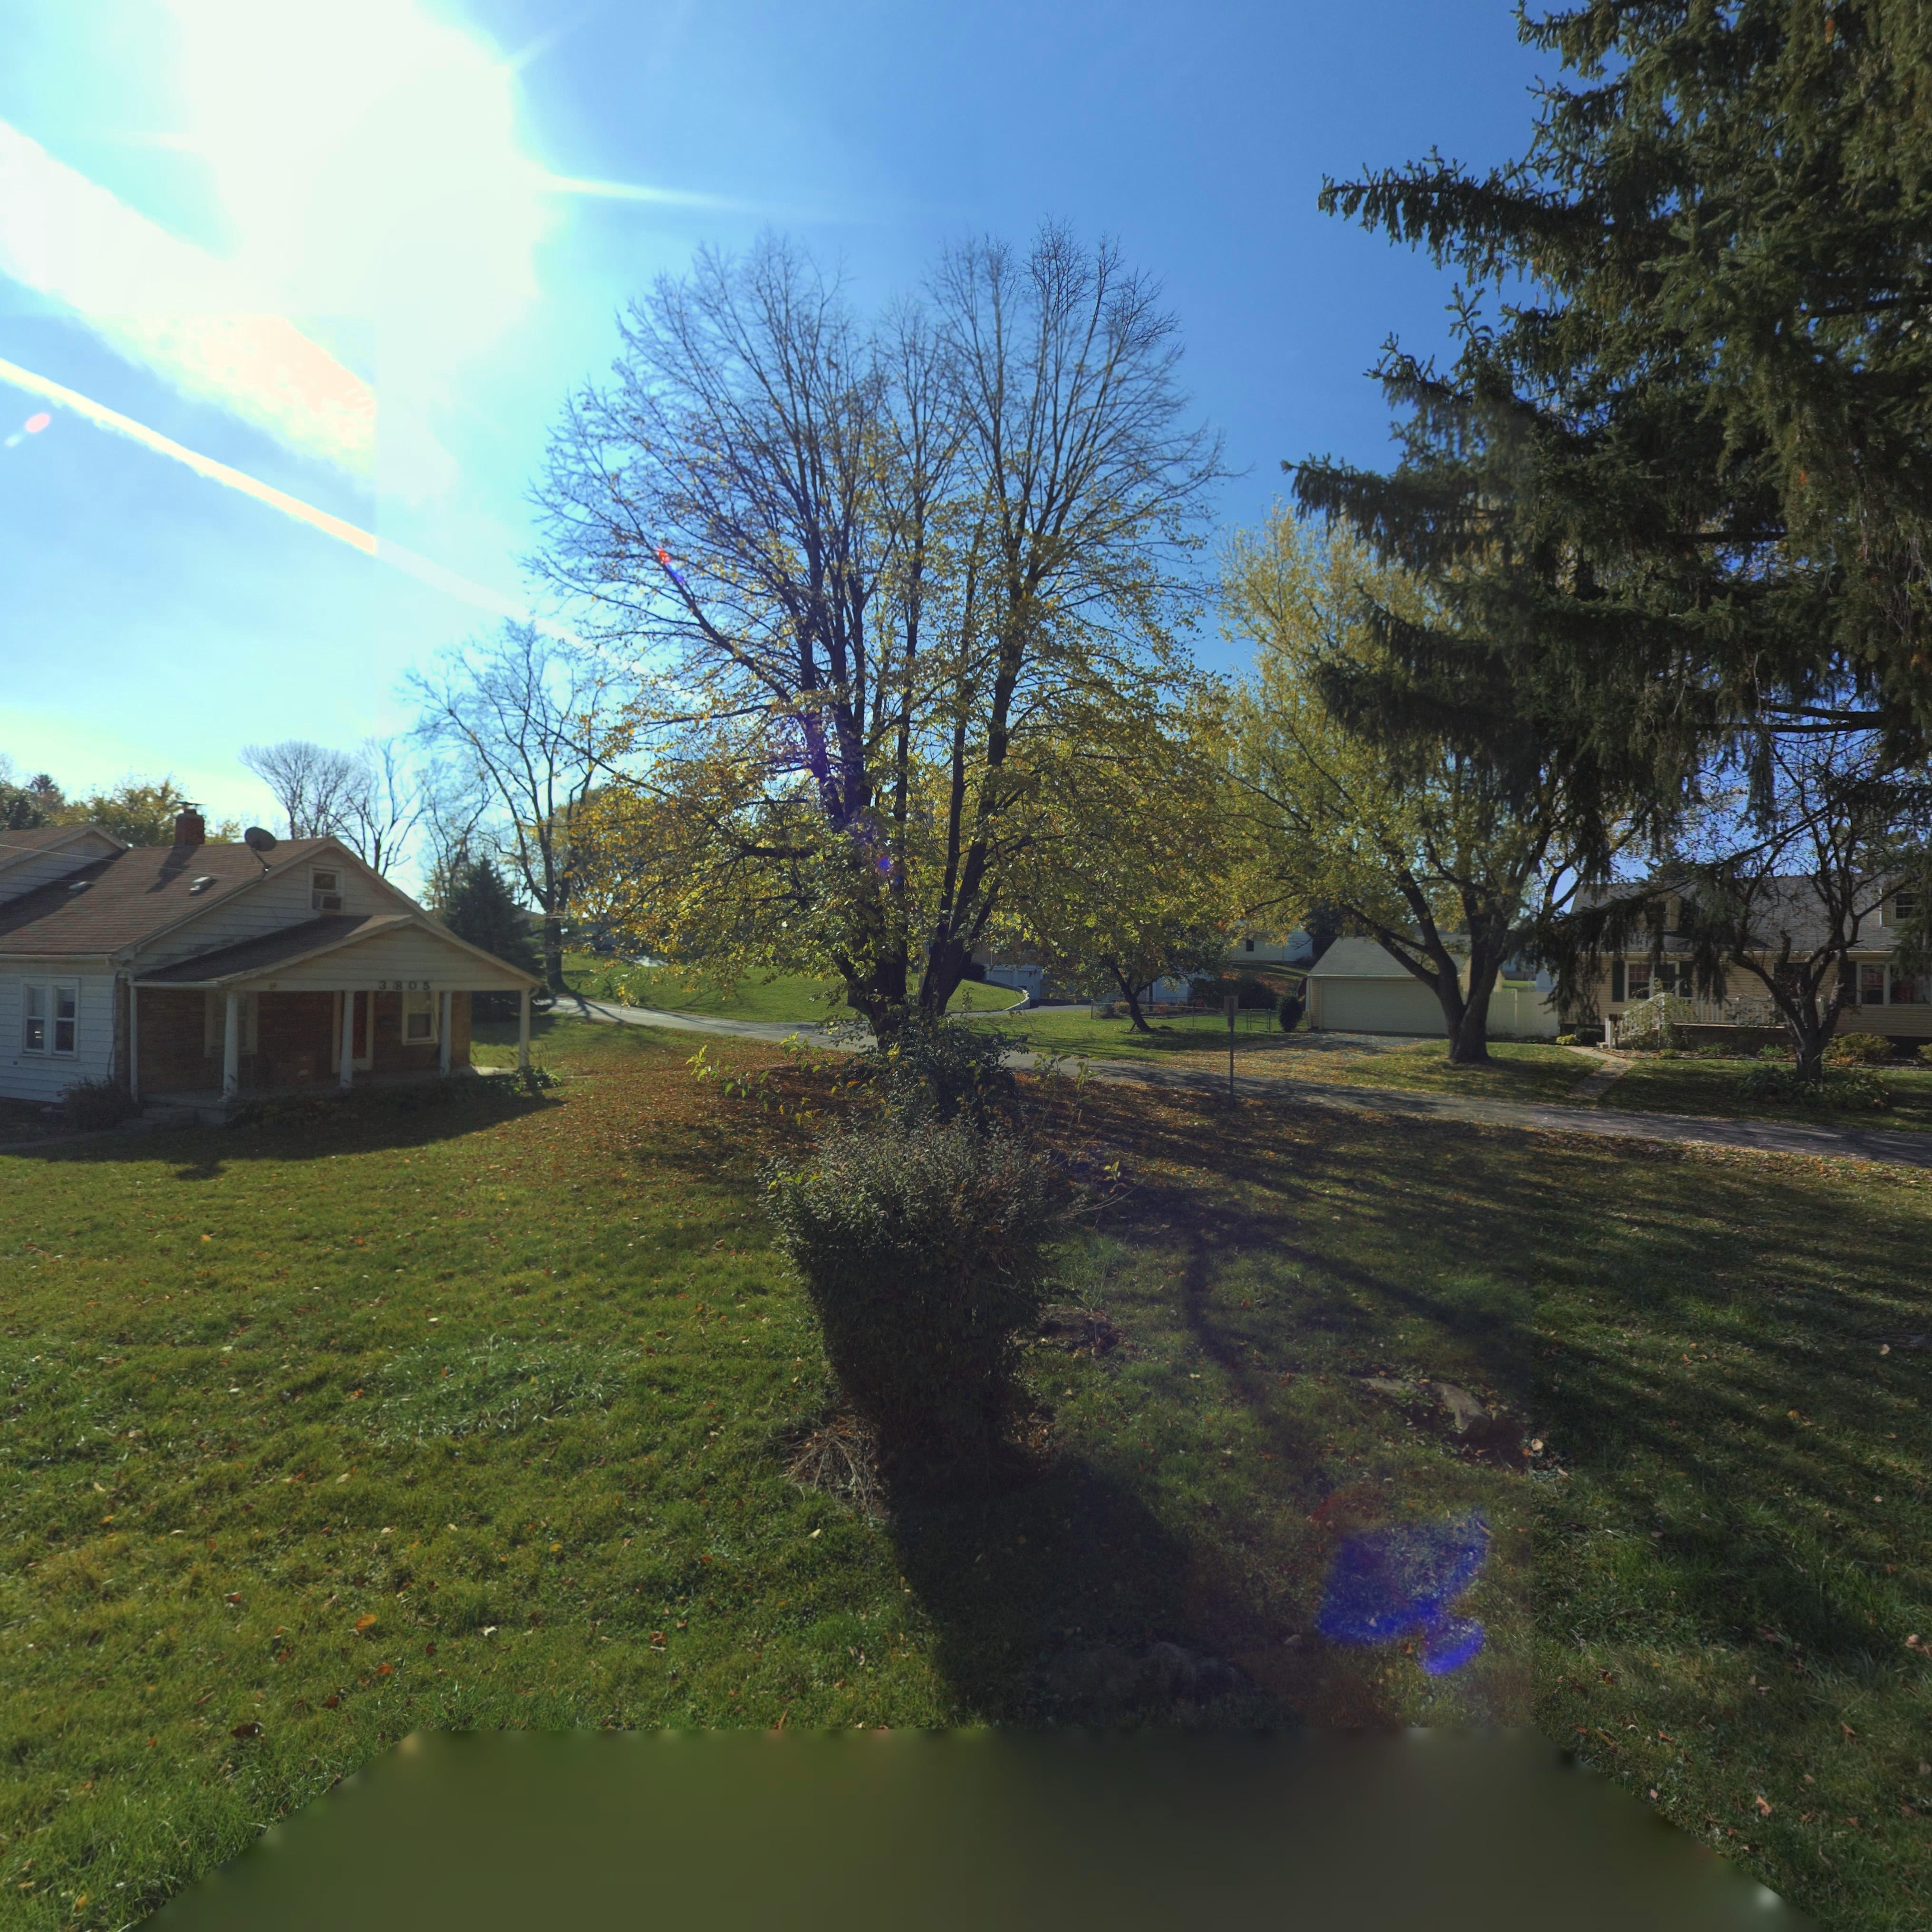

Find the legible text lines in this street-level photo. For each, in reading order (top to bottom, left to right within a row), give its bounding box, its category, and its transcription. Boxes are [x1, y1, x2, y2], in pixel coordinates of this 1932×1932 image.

[377, 978, 431, 992] StreetNumber: 3805